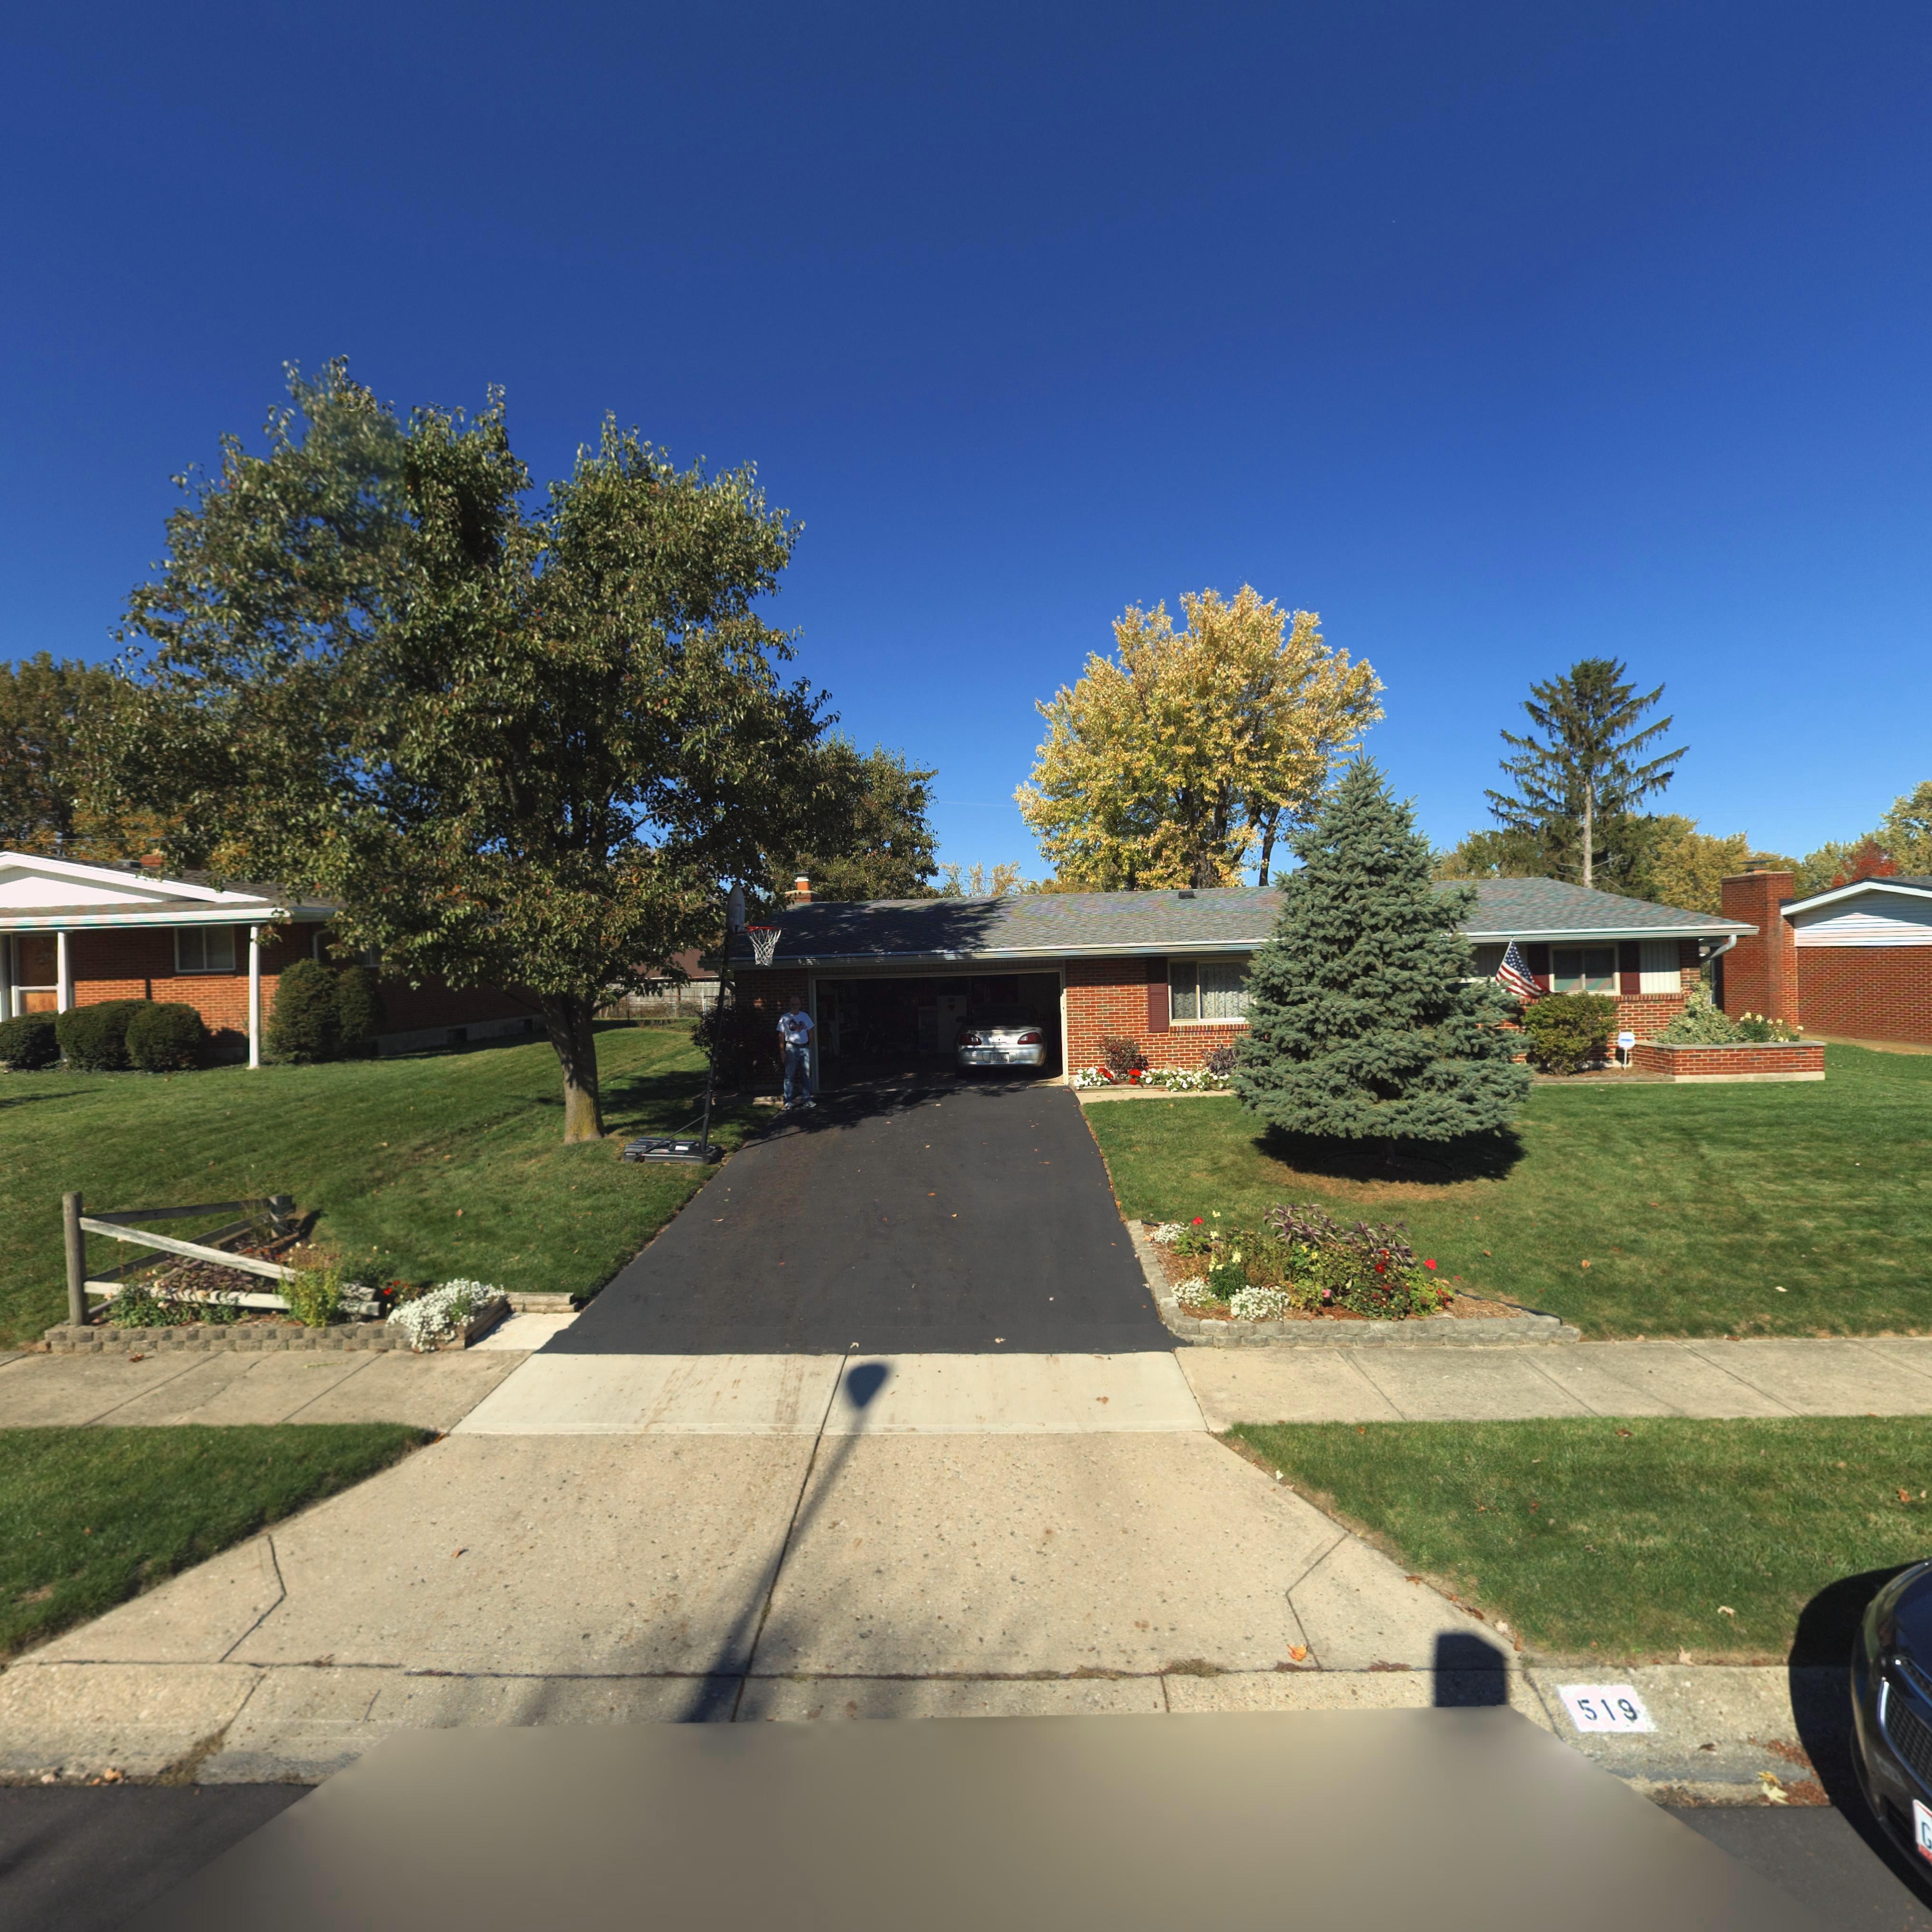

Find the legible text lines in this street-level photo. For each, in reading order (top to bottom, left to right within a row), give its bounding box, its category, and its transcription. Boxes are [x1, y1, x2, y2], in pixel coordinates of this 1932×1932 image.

[1576, 1698, 1639, 1721] StreetNumber: 519